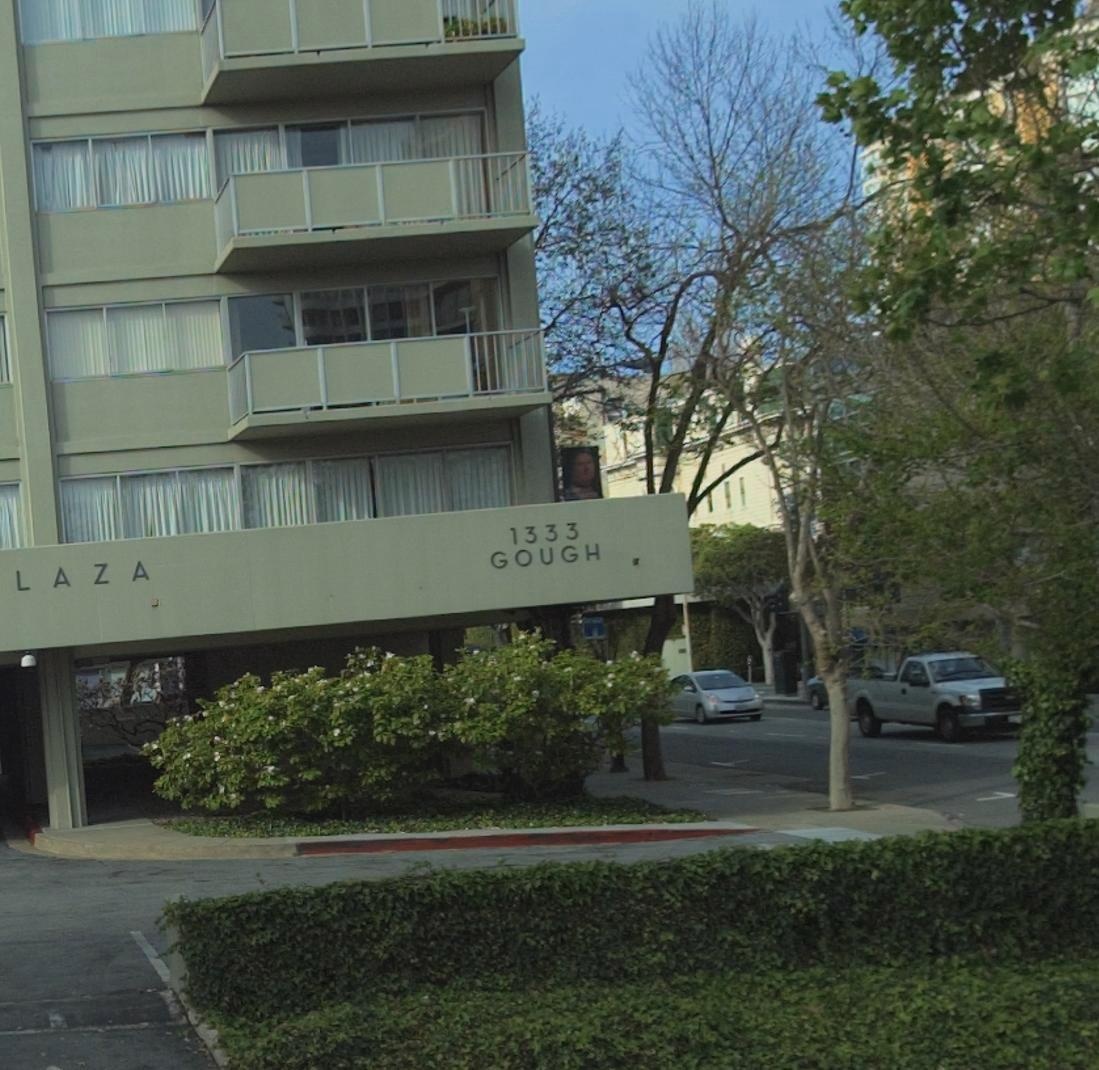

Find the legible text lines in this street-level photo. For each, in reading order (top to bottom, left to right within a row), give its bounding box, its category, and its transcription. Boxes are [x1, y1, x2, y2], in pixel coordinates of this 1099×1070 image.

[506, 518, 582, 549] StreetNumber: 1333
[488, 539, 604, 573] StreetName: GOUGH
[13, 556, 154, 595] None: LAZA